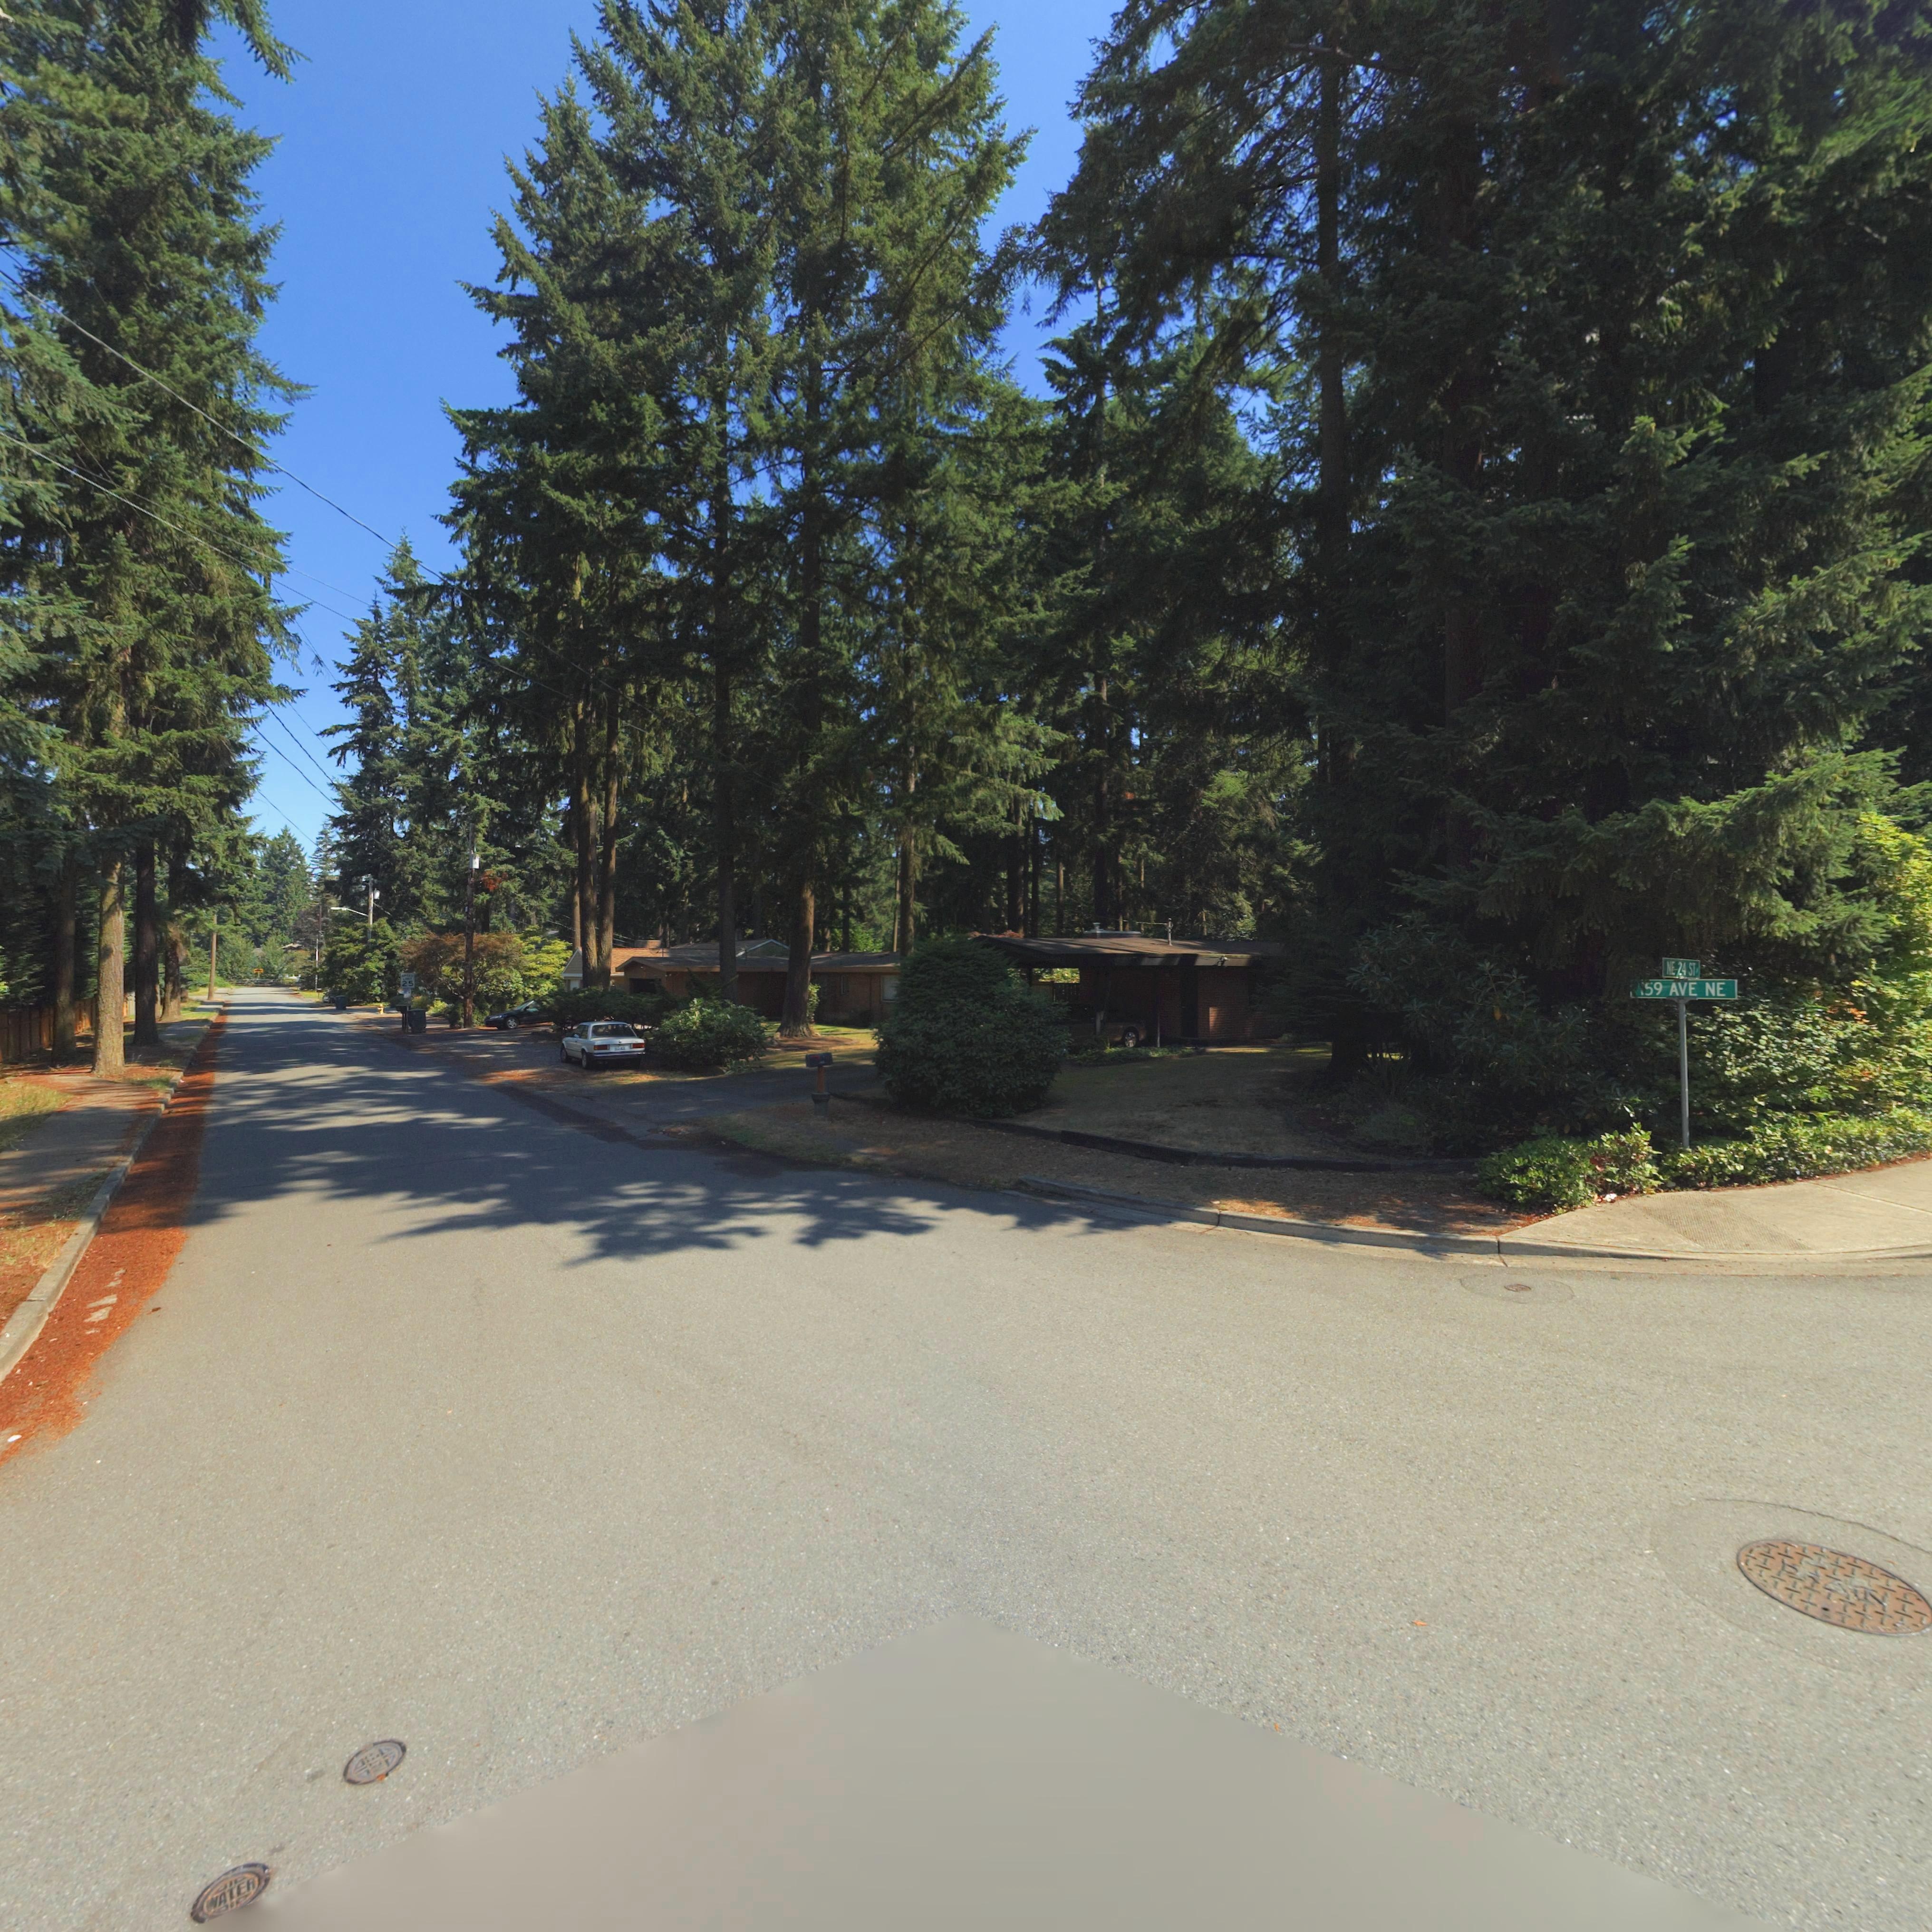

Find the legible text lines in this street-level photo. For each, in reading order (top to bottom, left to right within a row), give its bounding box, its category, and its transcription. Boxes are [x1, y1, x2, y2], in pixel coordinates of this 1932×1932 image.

[1666, 960, 1697, 977] StreetName: NE 24 ST
[1645, 982, 1725, 995] StreetName: 59 AVE NE